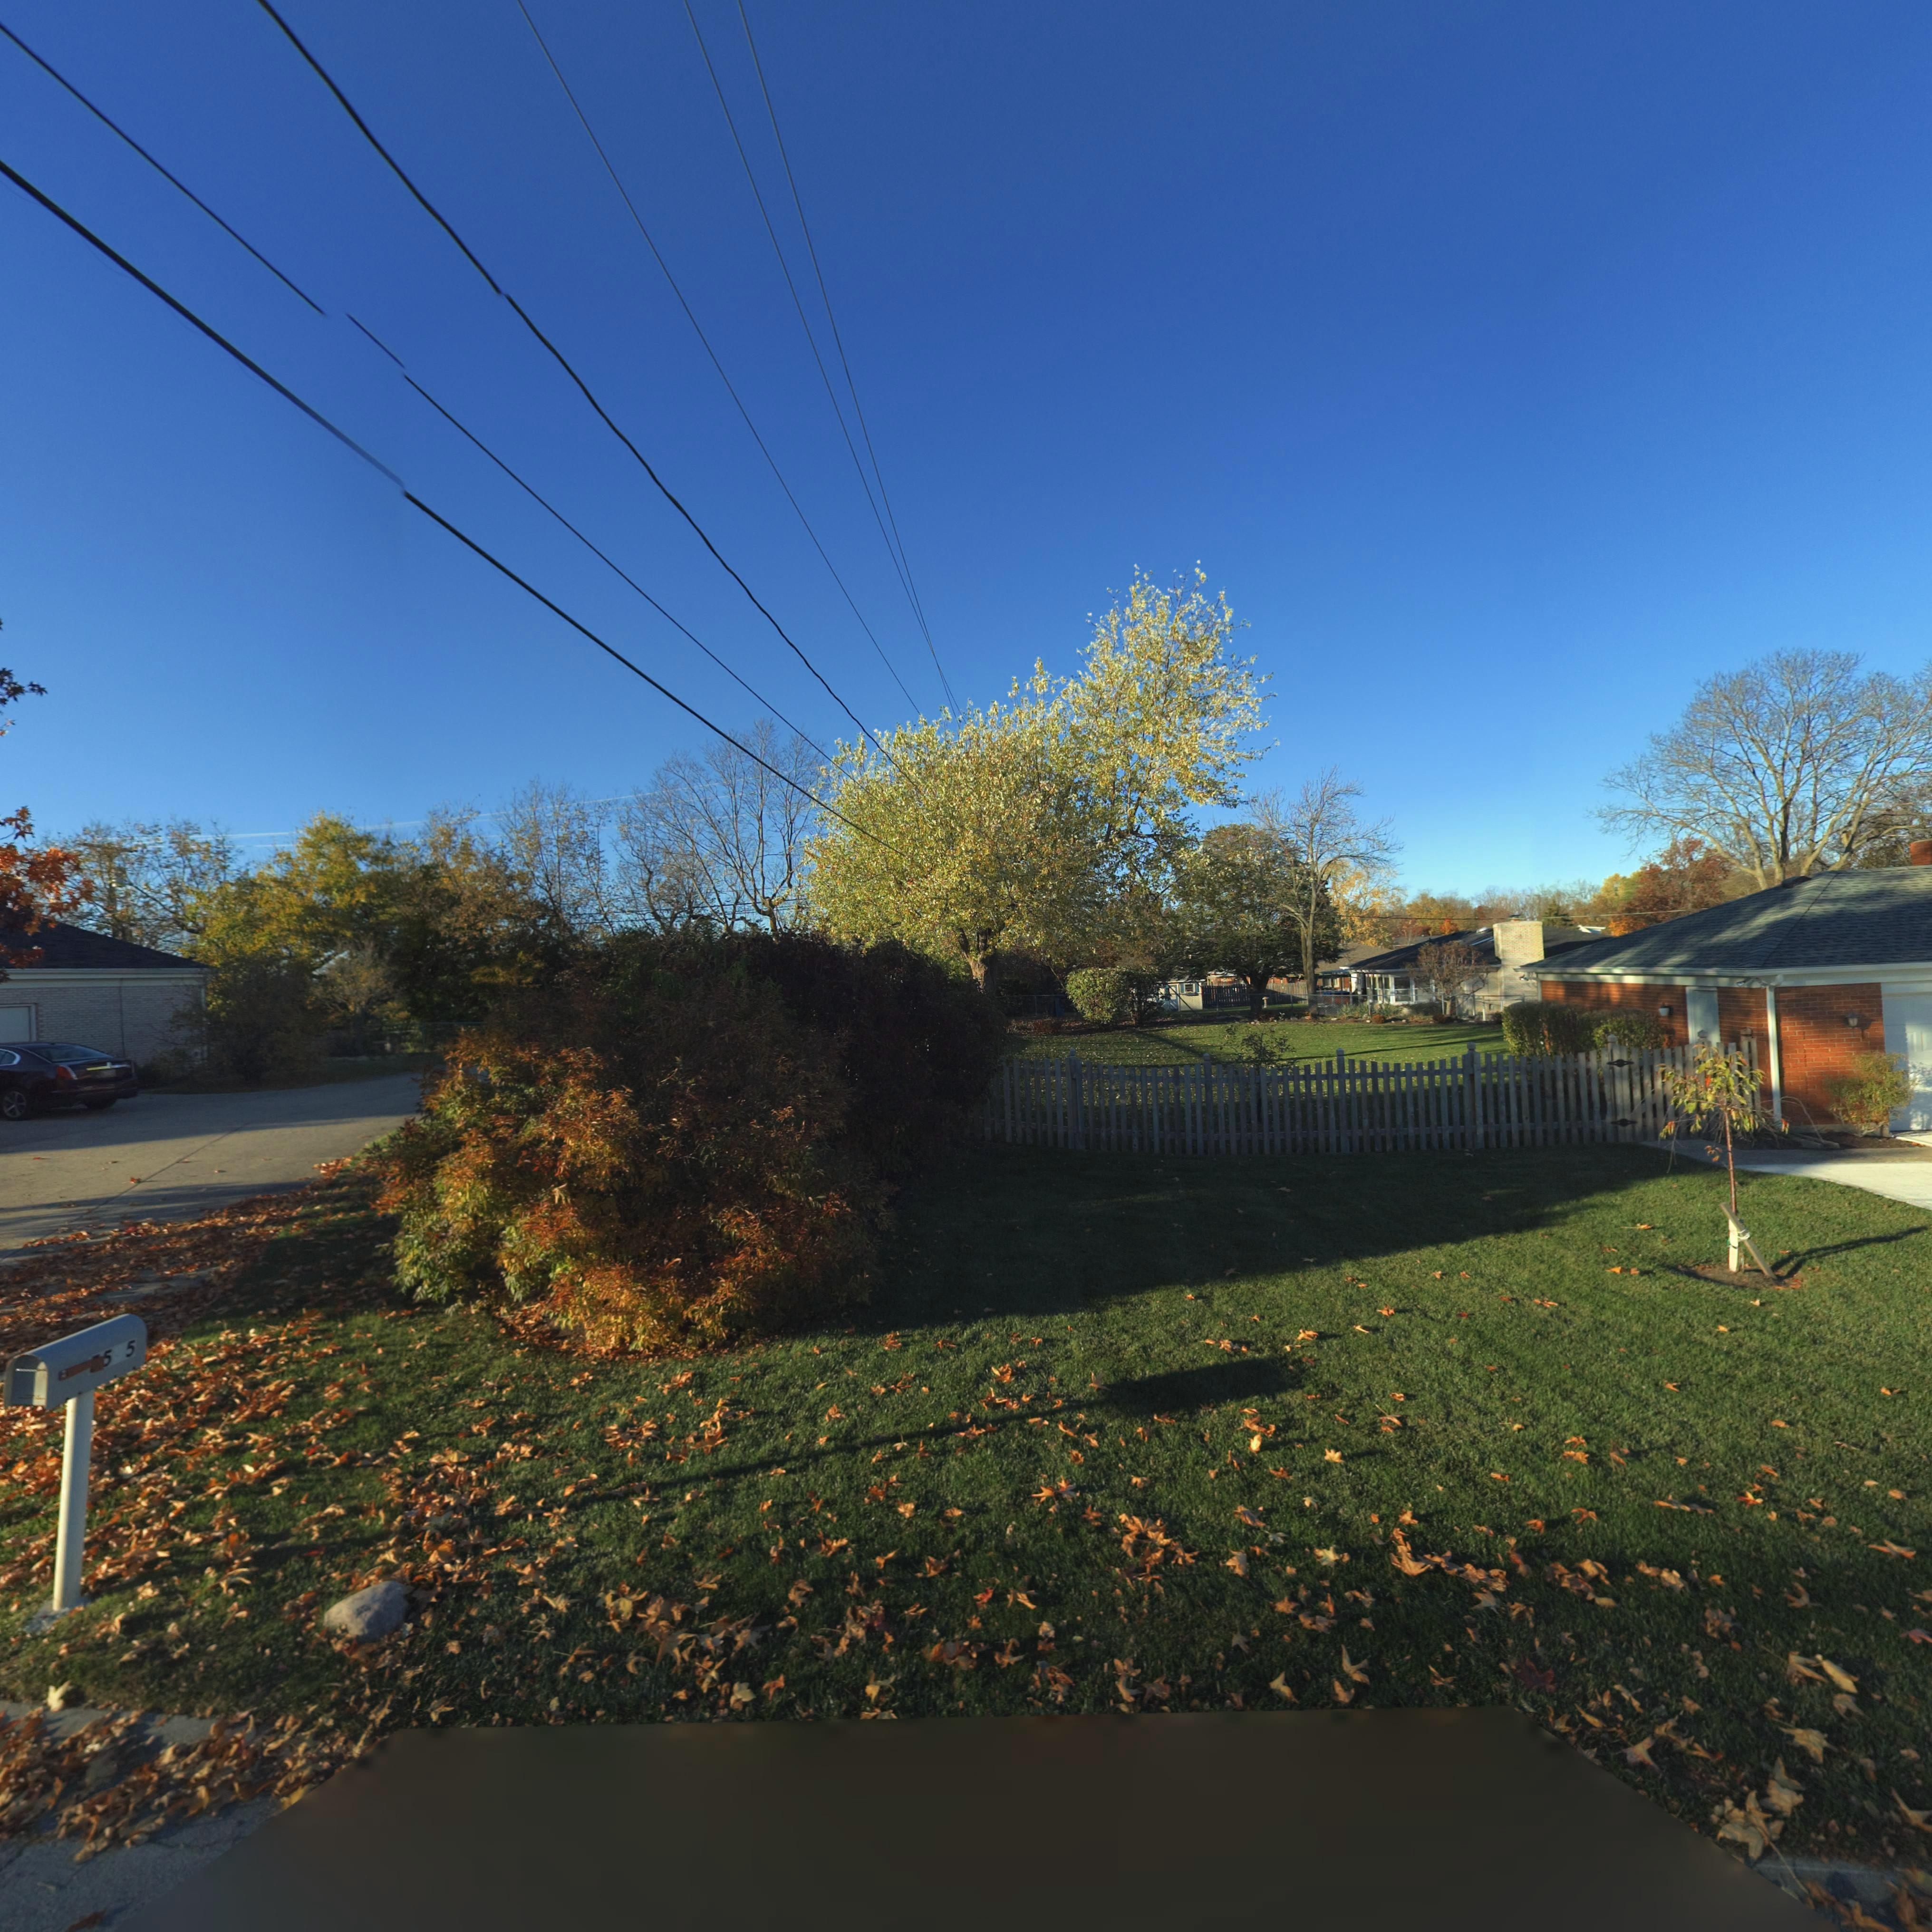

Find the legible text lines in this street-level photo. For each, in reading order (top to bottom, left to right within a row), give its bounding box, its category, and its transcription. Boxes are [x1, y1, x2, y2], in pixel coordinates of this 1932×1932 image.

[103, 1337, 136, 1369] StreetNumber: 5*5